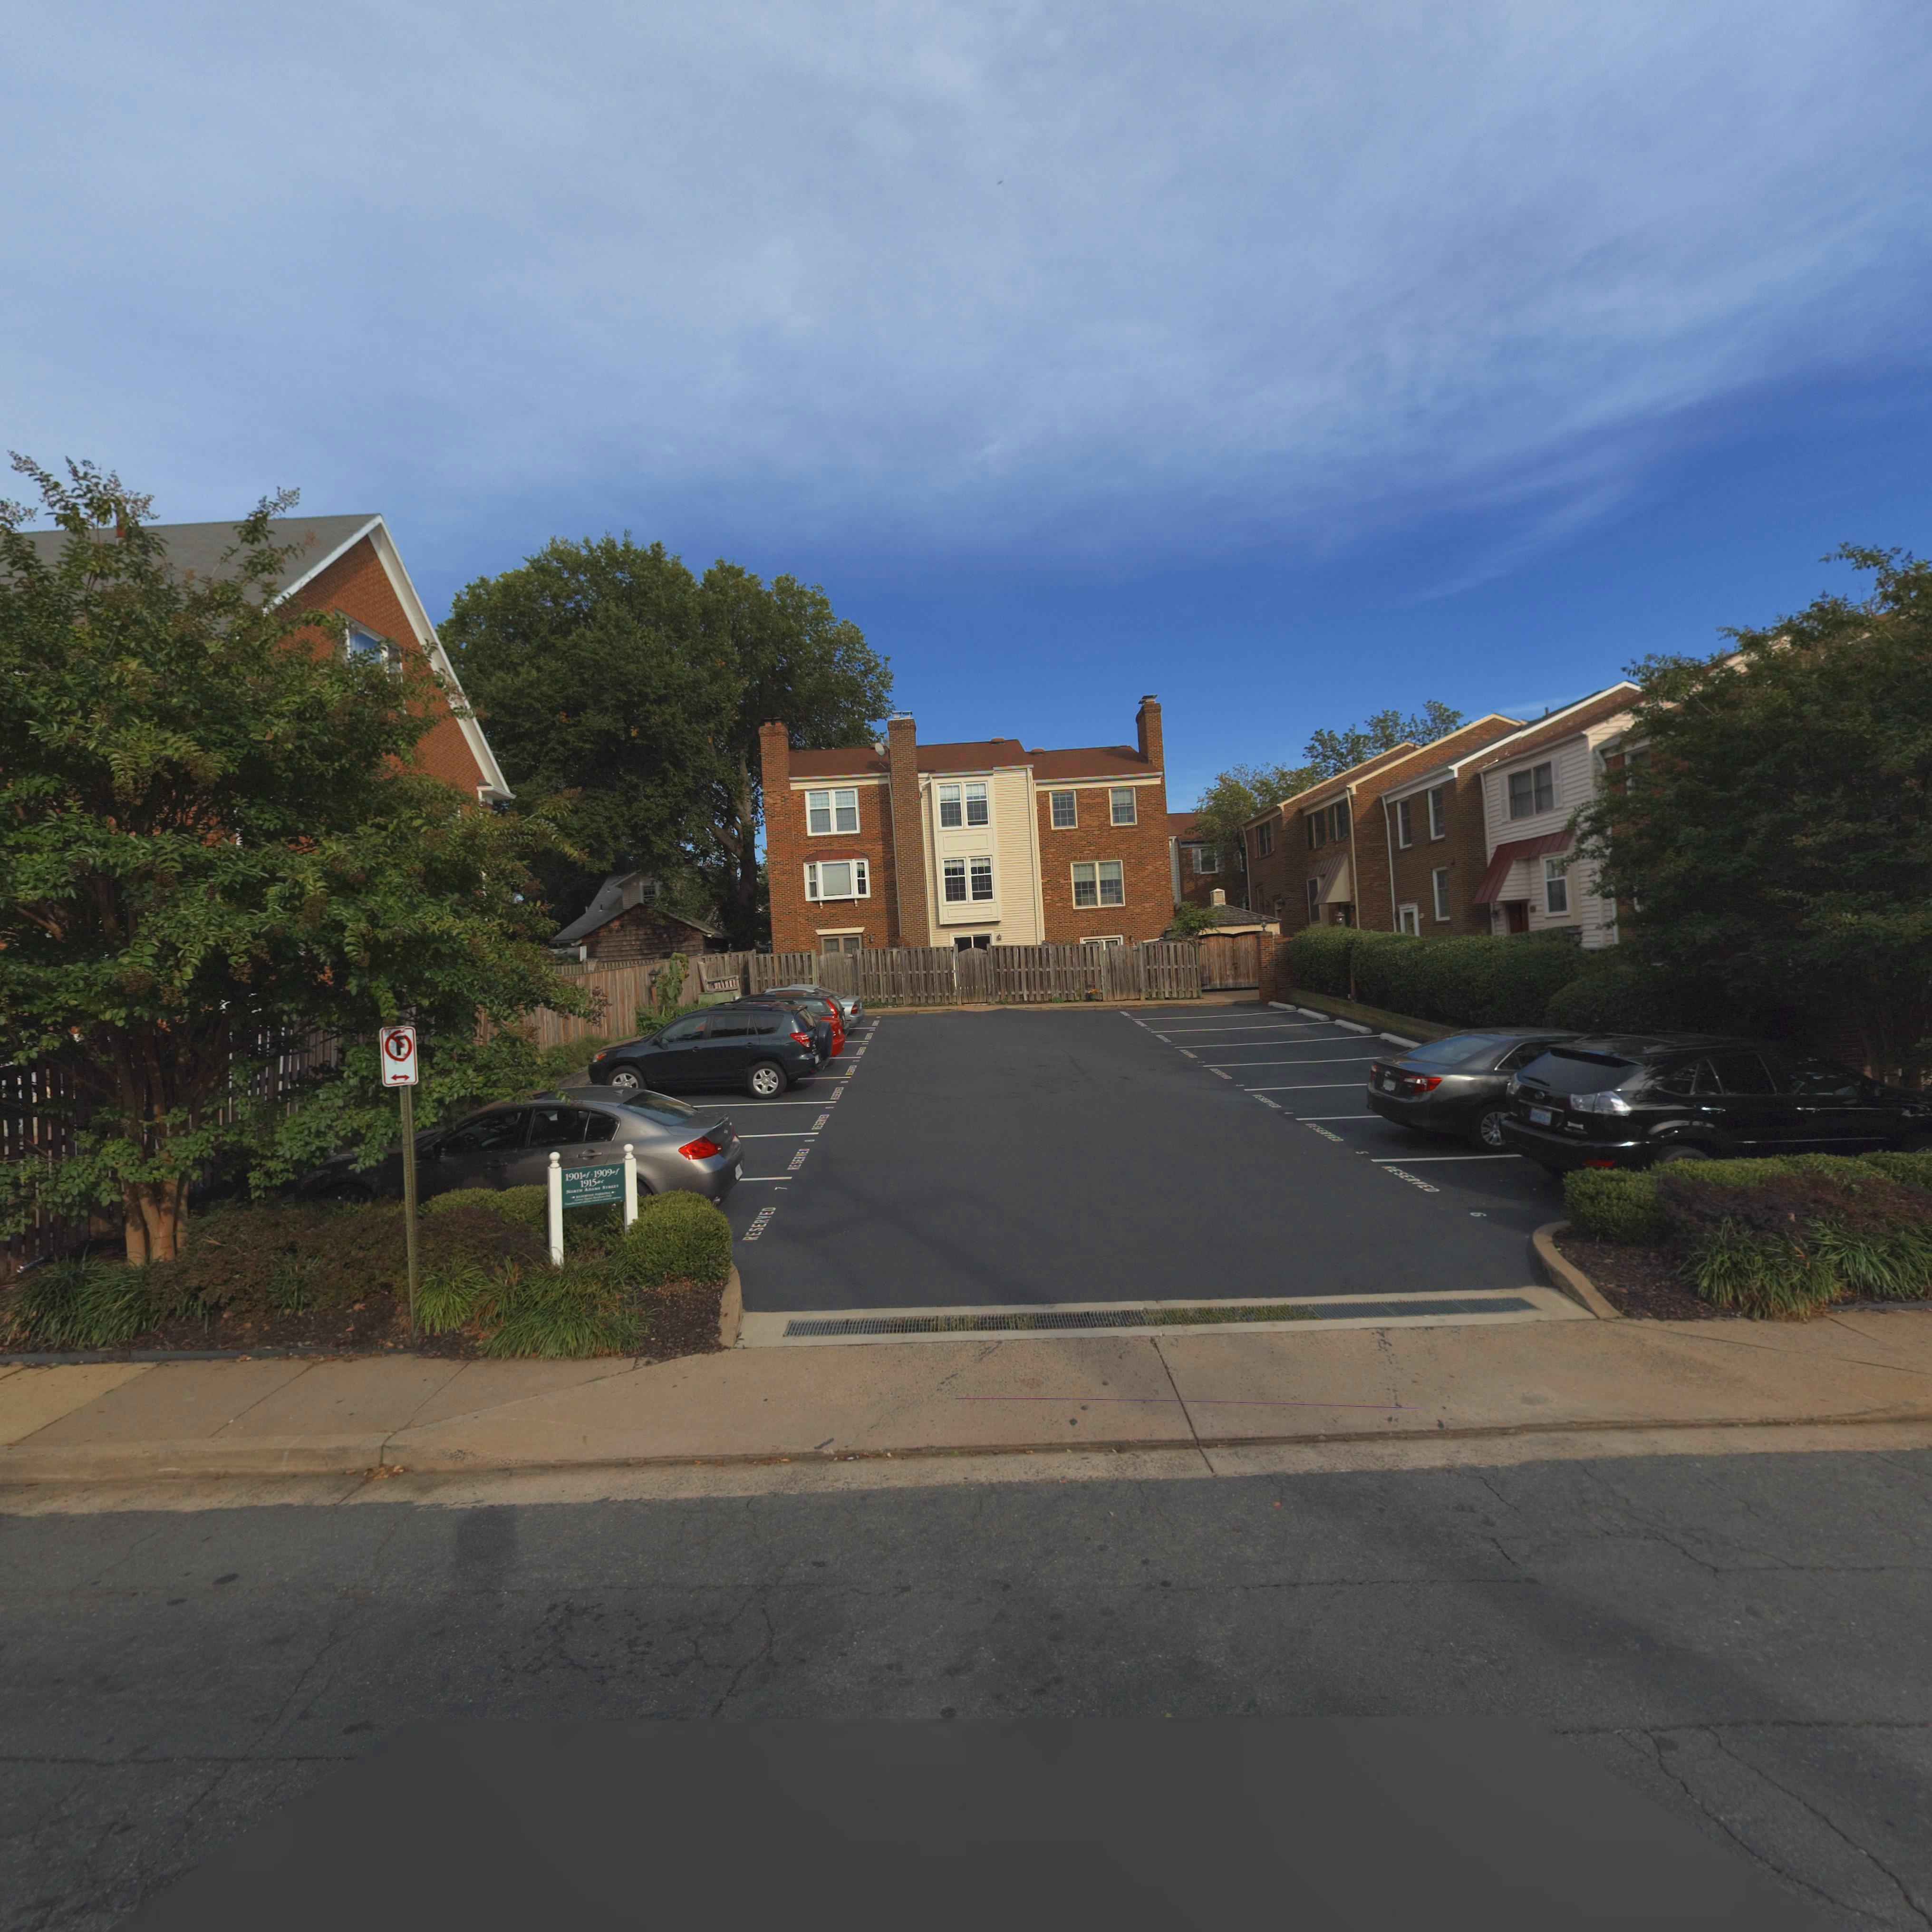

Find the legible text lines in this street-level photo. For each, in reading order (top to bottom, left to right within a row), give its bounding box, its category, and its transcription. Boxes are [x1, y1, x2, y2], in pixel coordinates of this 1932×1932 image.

[564, 1168, 620, 1182] None: 1901*-1909*
[580, 1178, 606, 1188] None: 1915